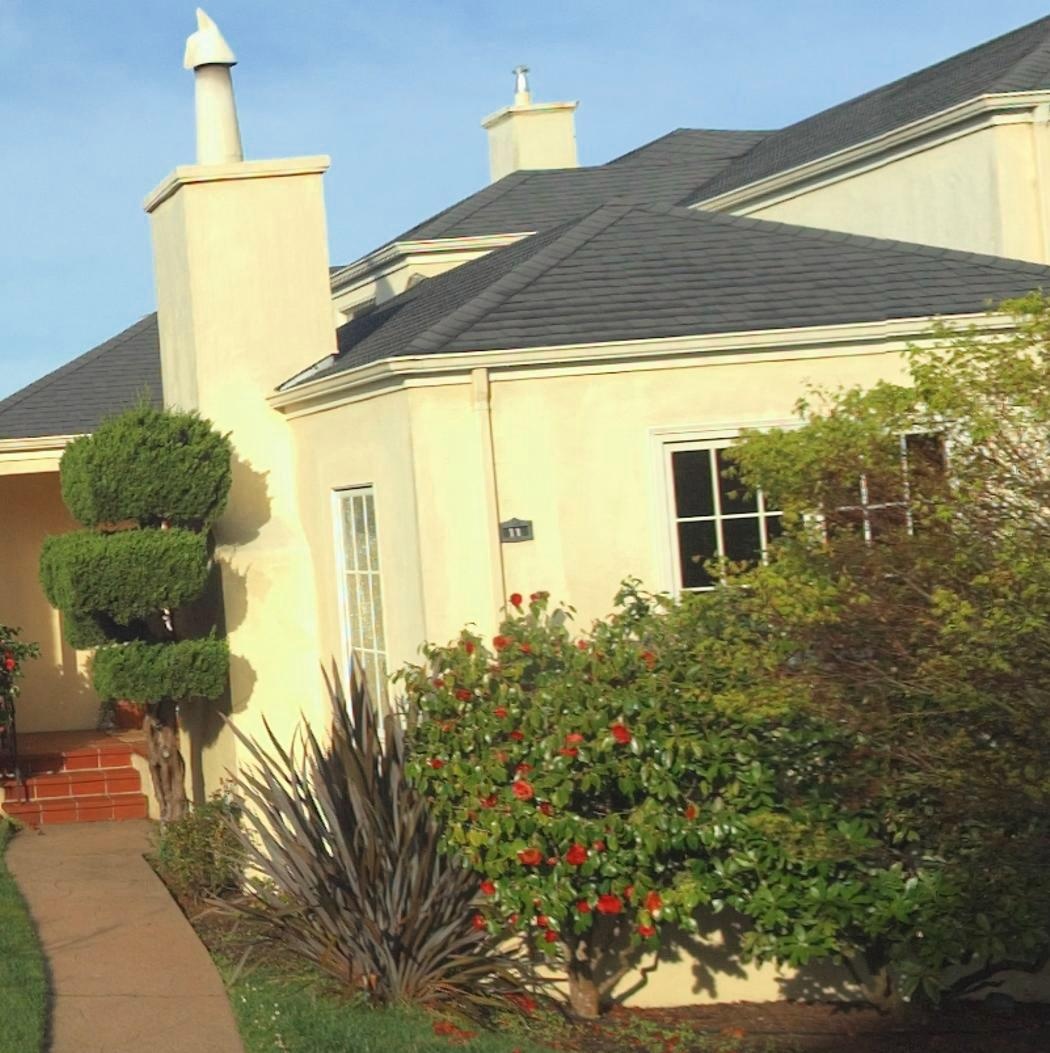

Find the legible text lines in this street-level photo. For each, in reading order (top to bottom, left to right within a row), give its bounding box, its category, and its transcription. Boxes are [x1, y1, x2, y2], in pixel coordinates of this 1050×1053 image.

[506, 525, 524, 539] StreetNumber: 11